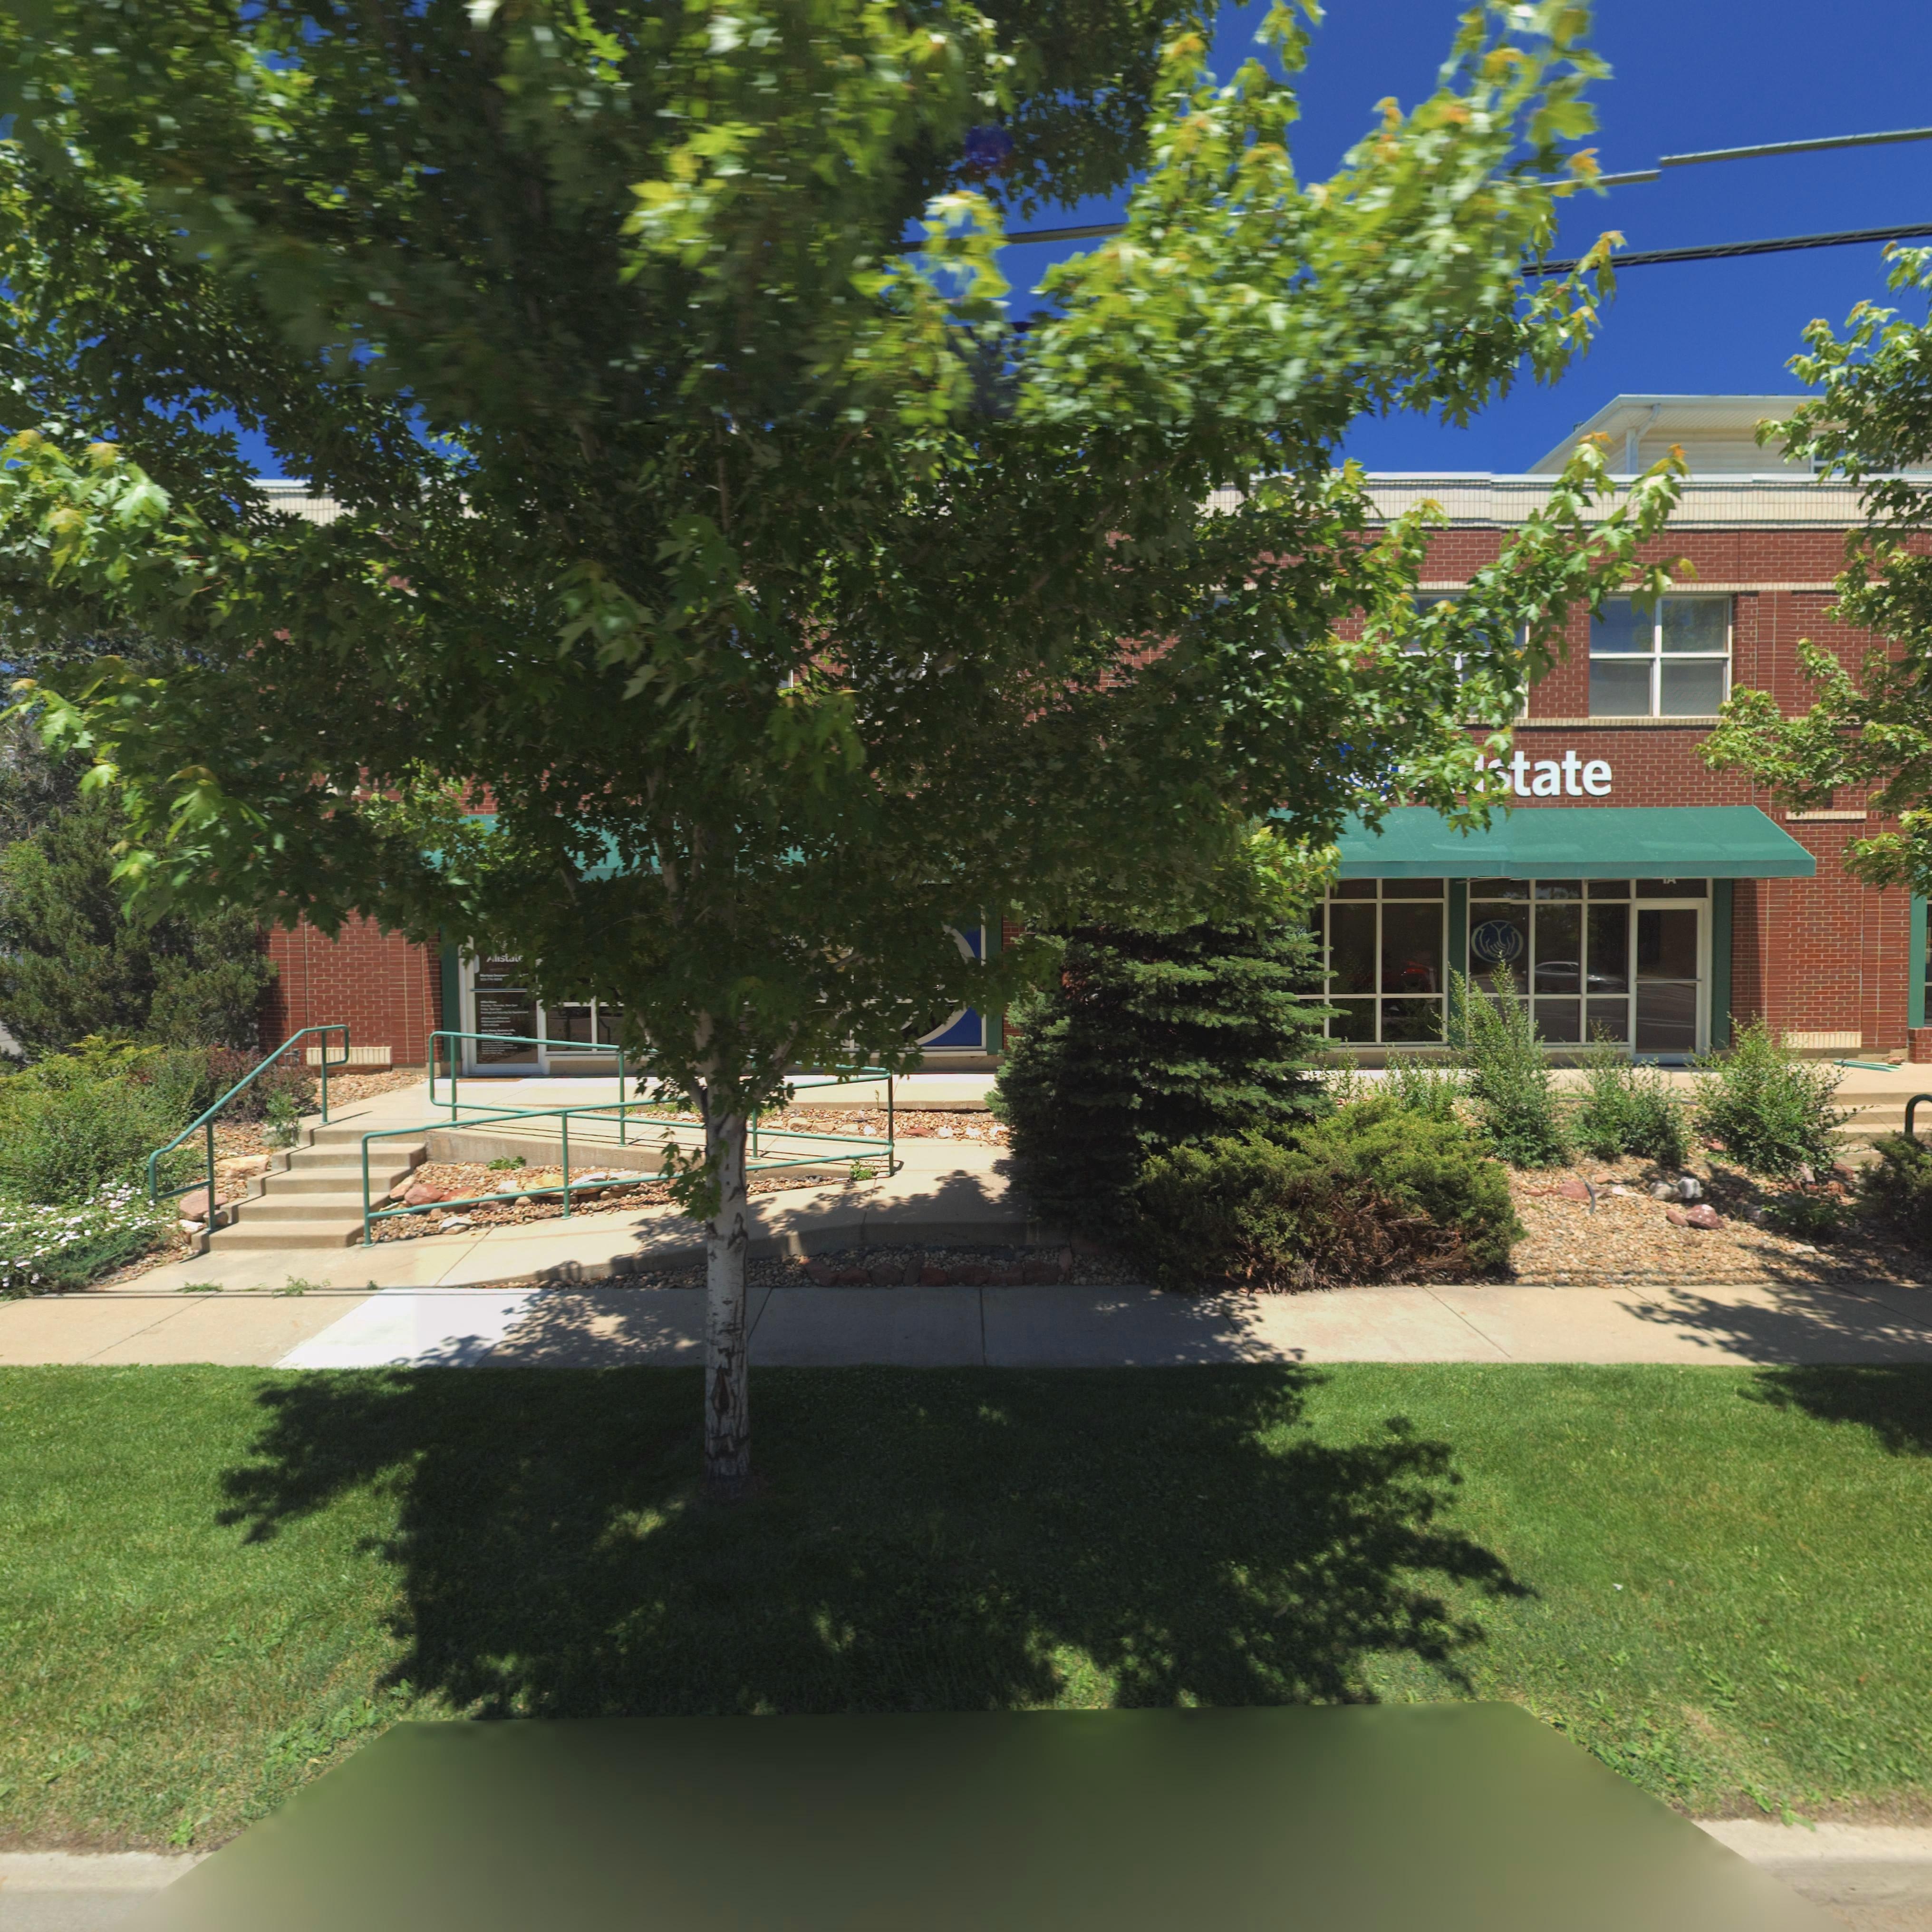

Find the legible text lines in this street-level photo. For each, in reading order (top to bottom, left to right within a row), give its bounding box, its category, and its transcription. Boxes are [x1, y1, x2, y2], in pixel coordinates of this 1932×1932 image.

[1505, 749, 1614, 798] BusinessName: tate
[485, 952, 526, 963] BusinessName: *l*st***